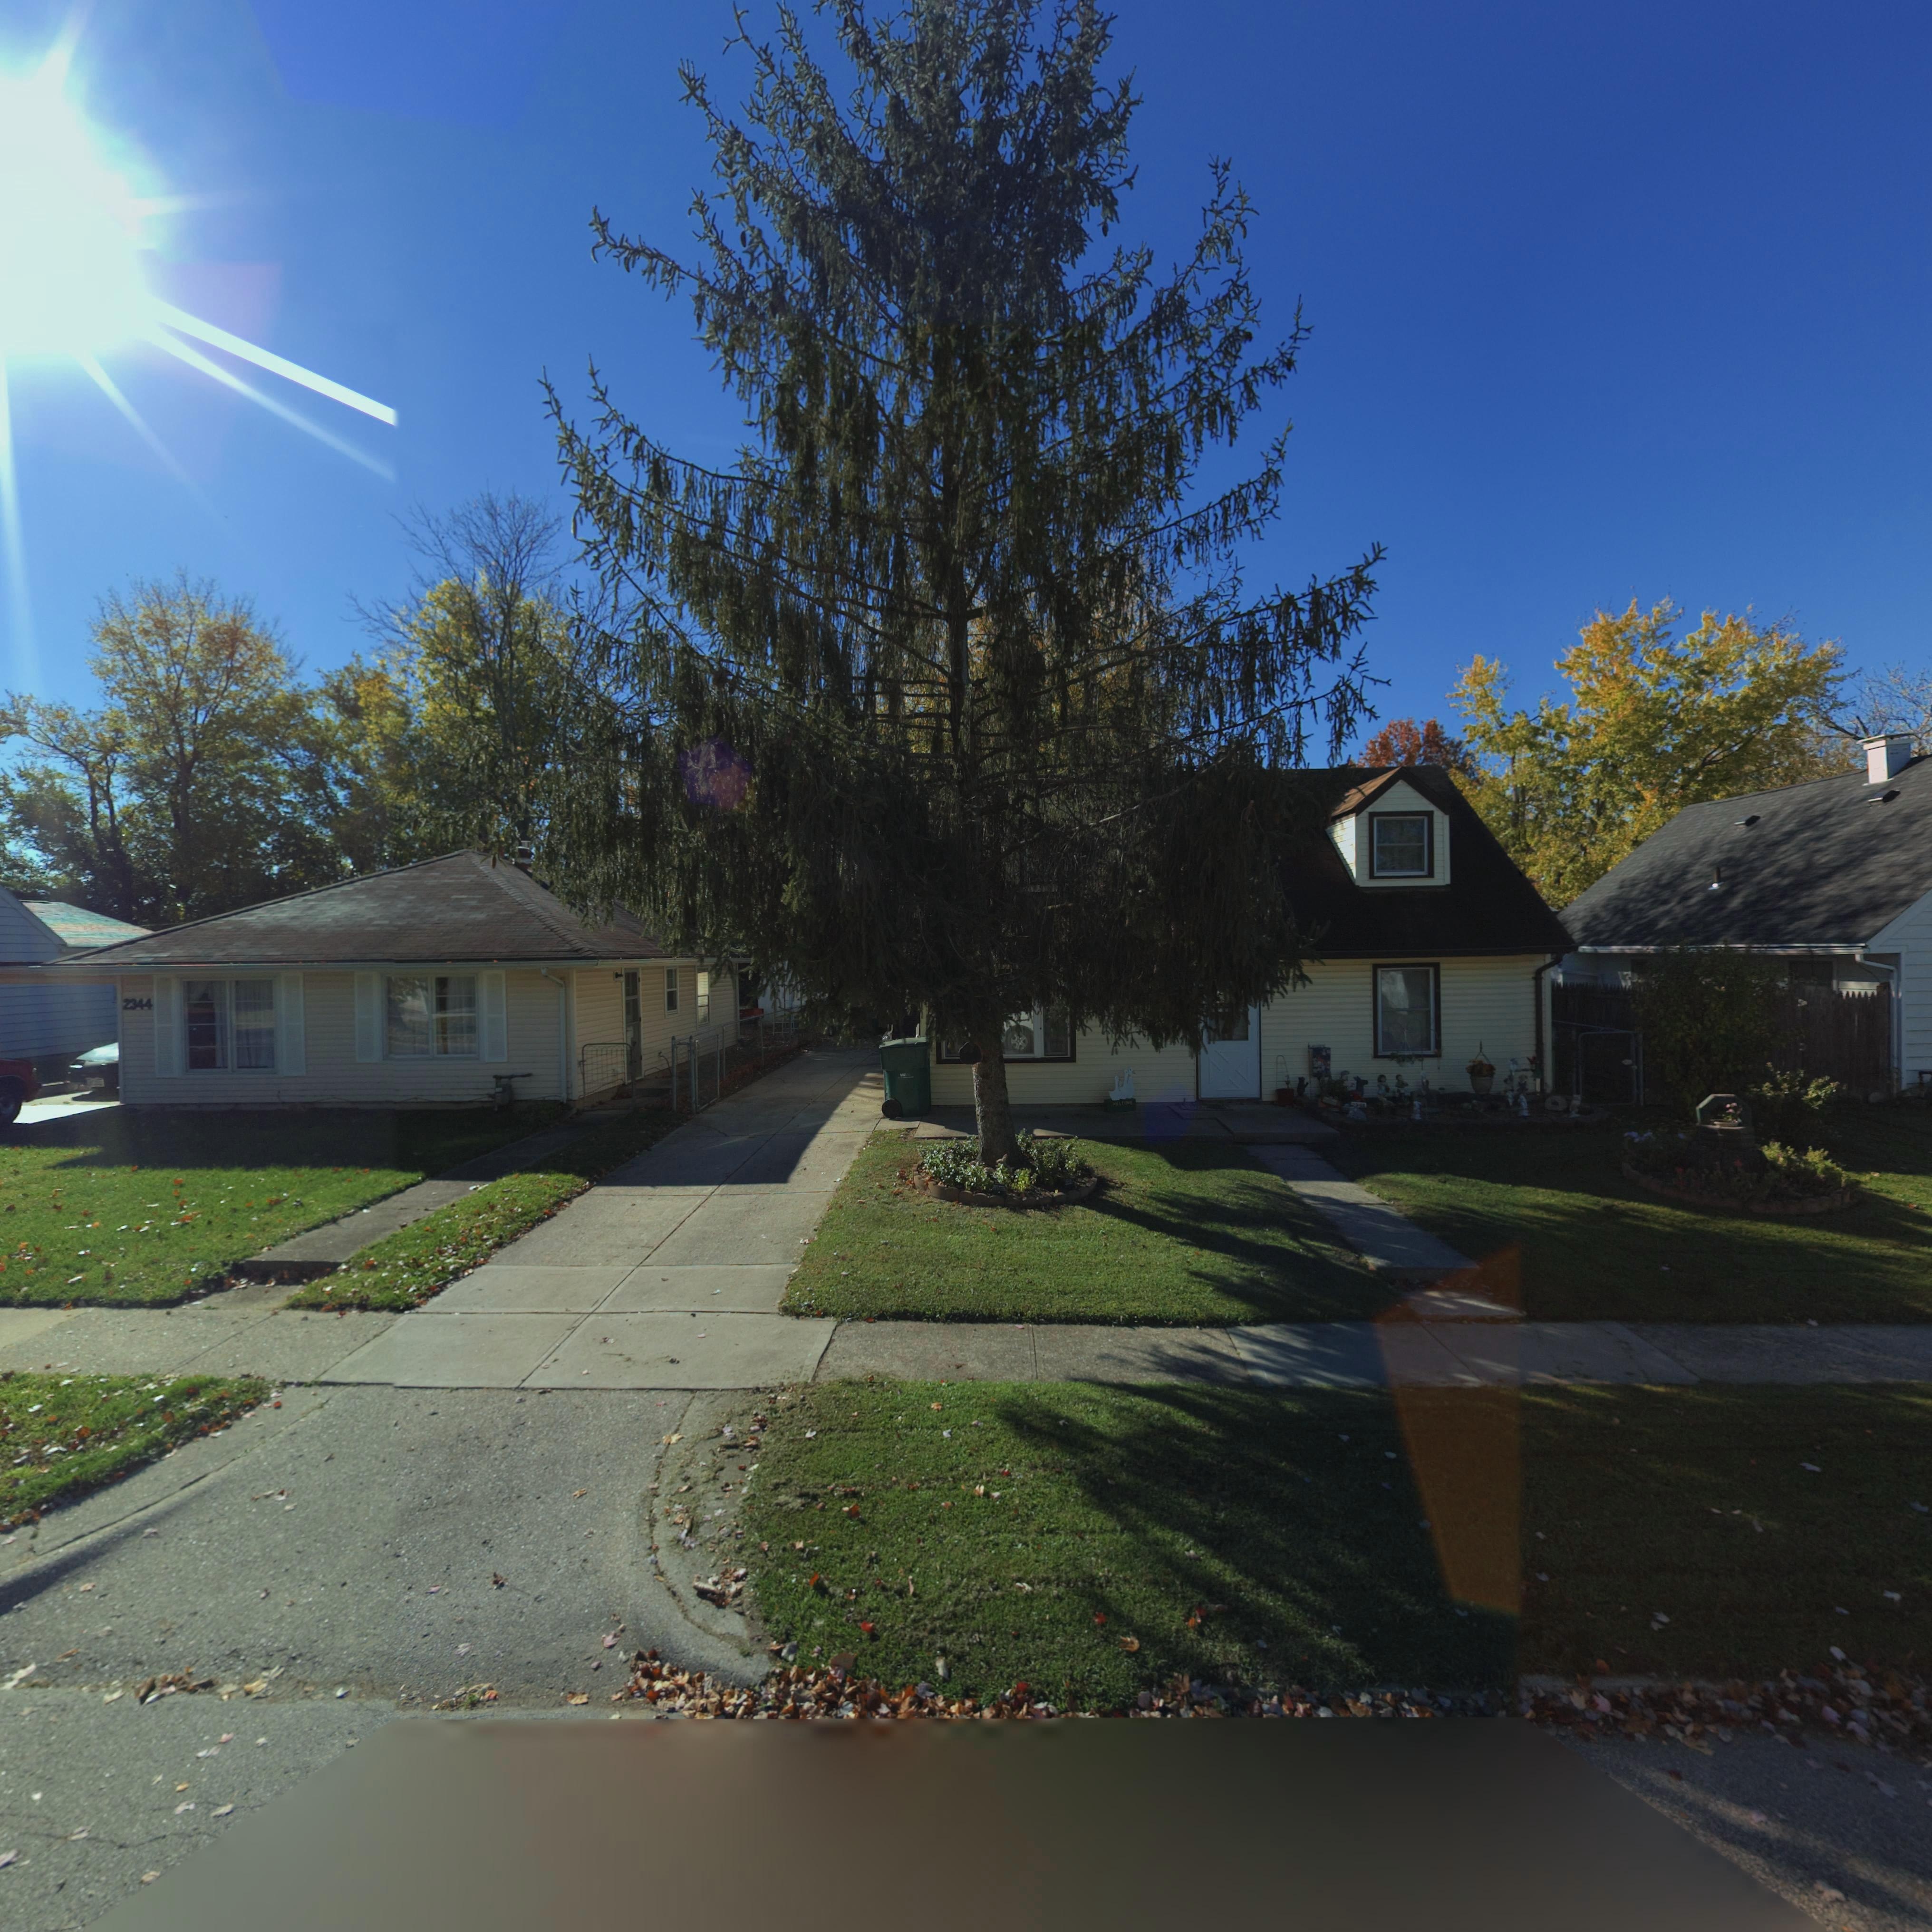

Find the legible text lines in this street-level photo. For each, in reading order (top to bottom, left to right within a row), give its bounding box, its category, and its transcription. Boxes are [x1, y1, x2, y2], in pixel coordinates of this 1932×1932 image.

[121, 996, 154, 1011] StreetNumber: 2344